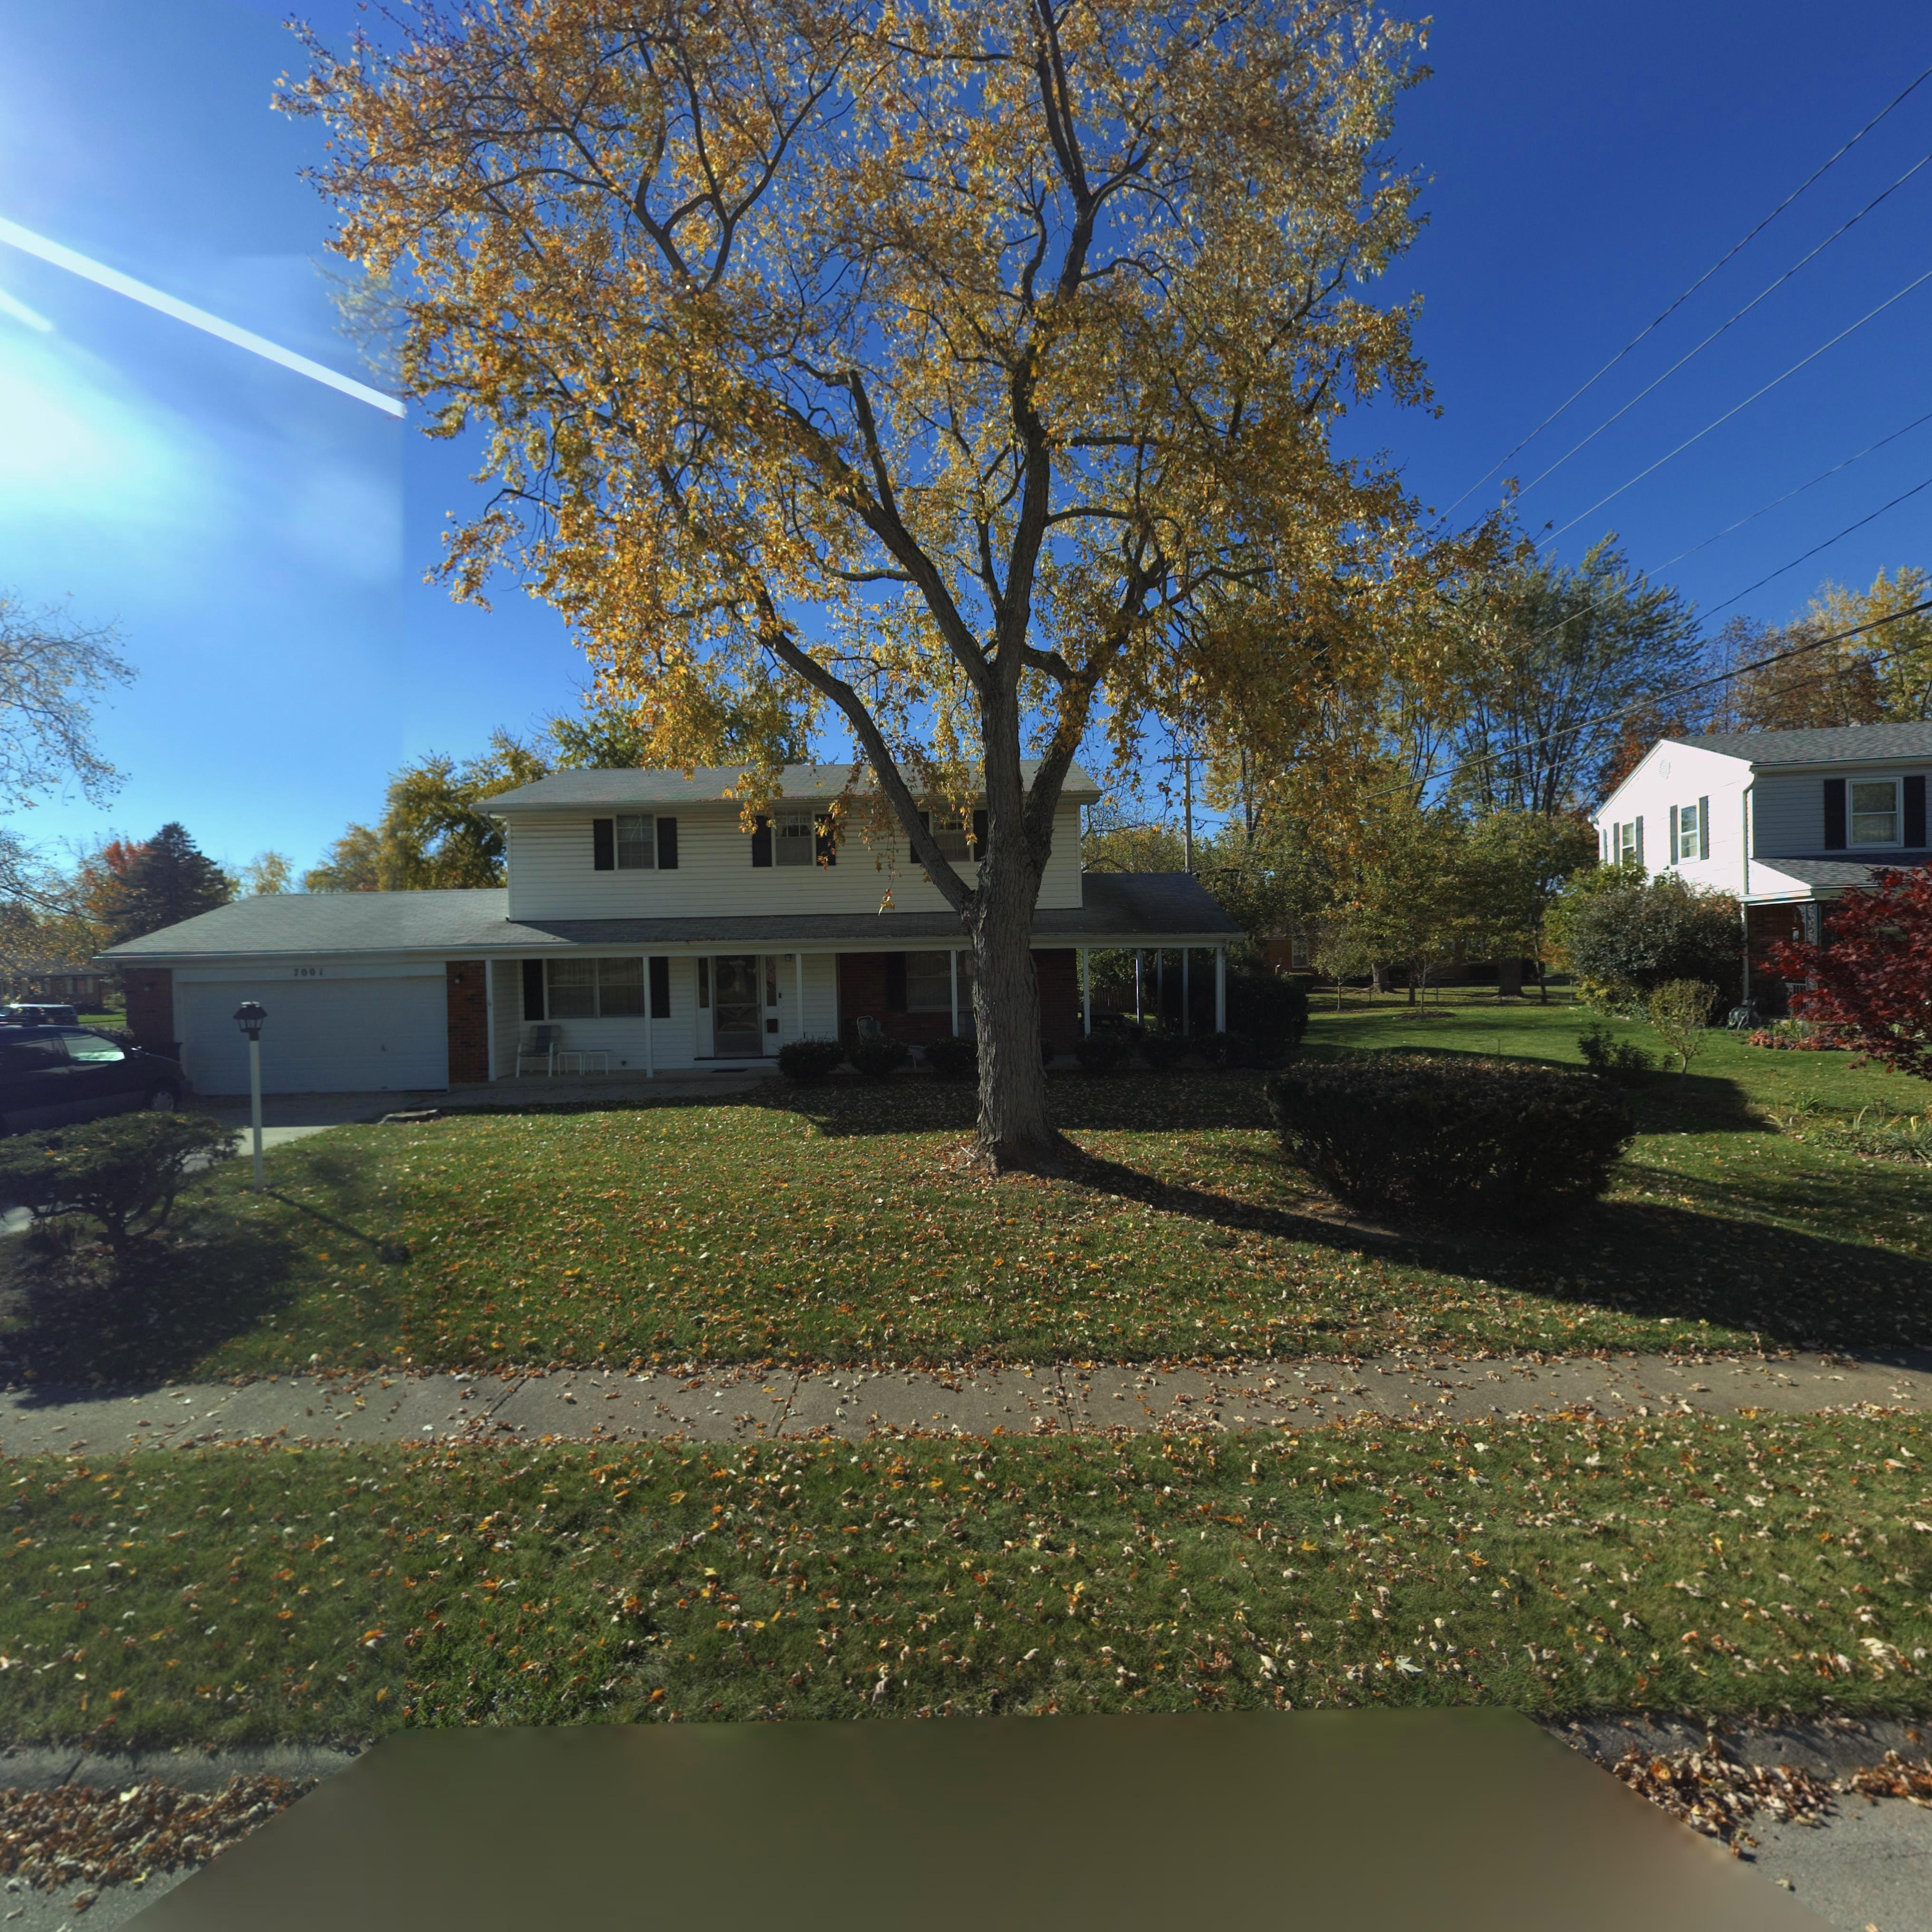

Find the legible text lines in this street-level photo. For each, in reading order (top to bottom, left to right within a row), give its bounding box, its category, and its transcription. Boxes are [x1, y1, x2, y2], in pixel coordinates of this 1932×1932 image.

[292, 966, 325, 978] StreetNumber: 7001